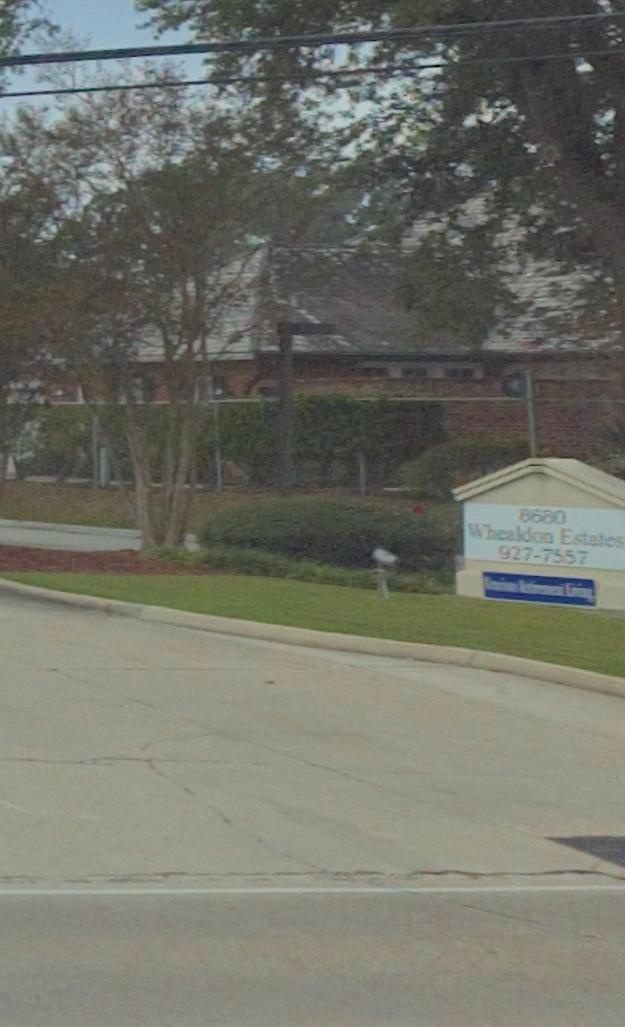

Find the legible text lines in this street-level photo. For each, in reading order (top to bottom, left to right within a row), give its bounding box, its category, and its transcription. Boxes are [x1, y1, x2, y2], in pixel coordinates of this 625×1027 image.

[519, 505, 567, 527] StreetNumber: 8680
[466, 520, 624, 549] BusinessName: Wheald** Estales
[497, 544, 592, 566] None: 927-7557